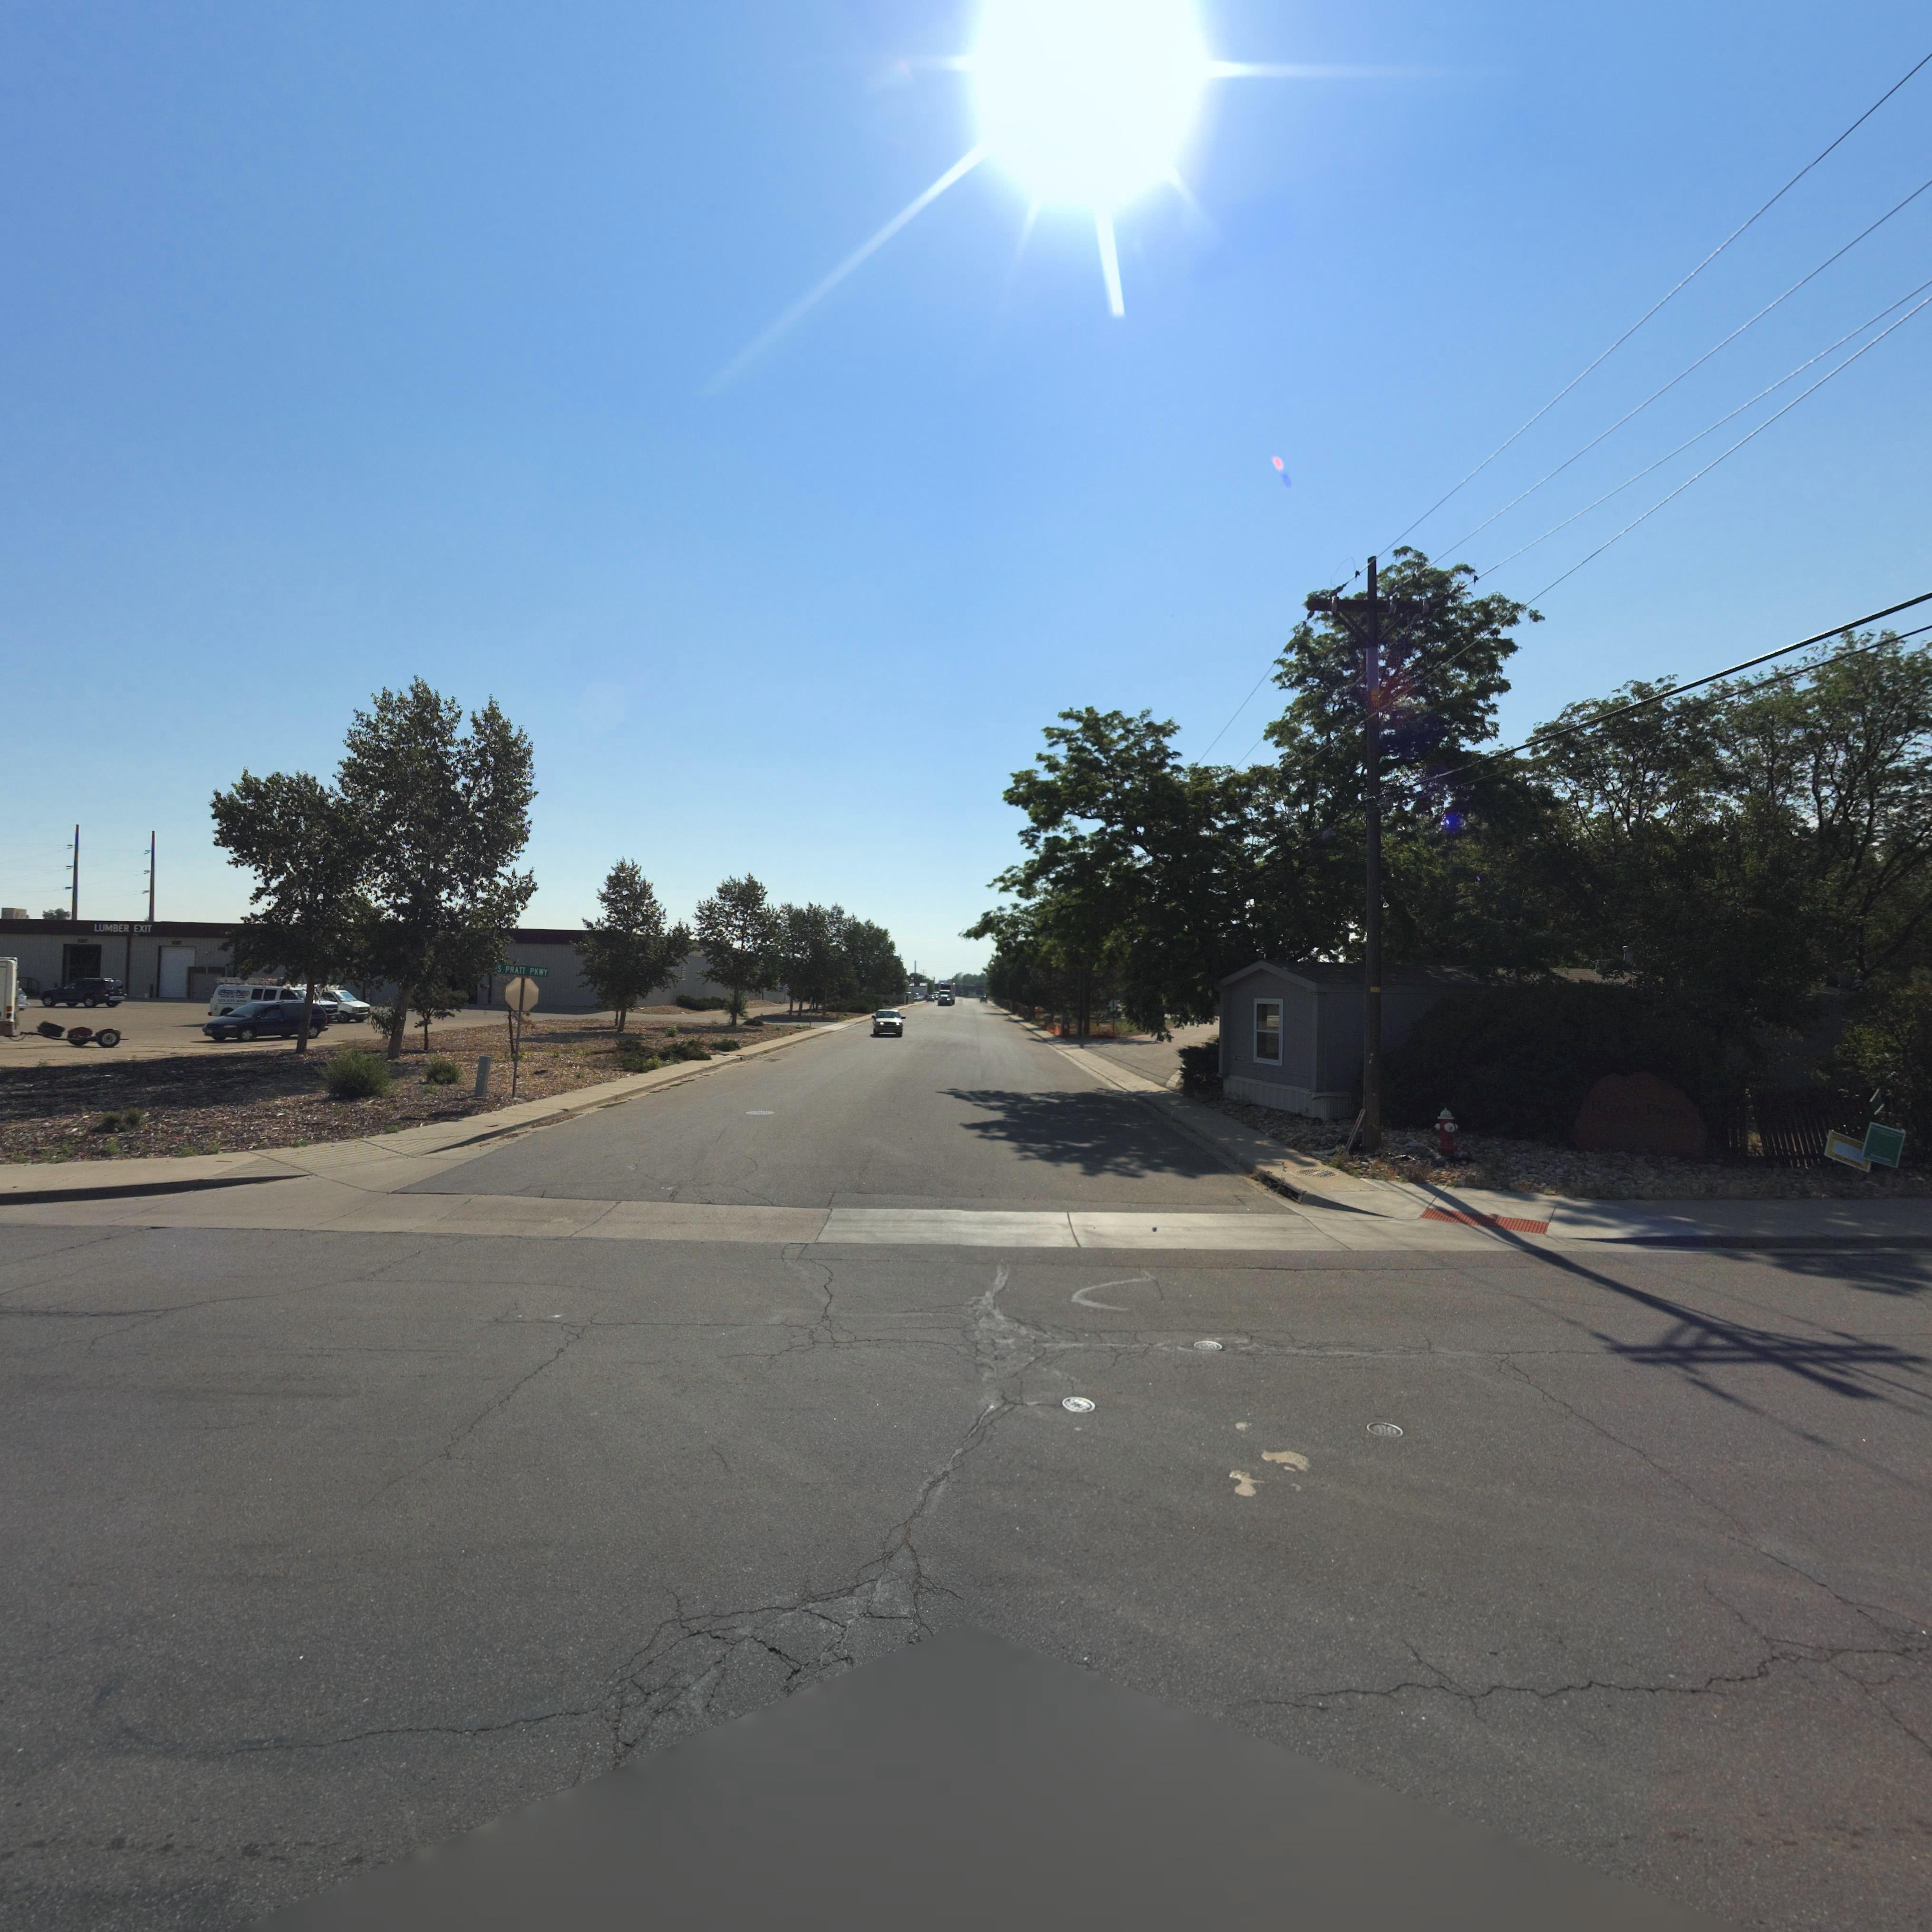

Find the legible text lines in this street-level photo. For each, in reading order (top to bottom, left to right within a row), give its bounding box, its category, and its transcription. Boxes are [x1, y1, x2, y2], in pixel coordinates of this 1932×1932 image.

[497, 964, 549, 976] StreetName: S PRATT PKWY